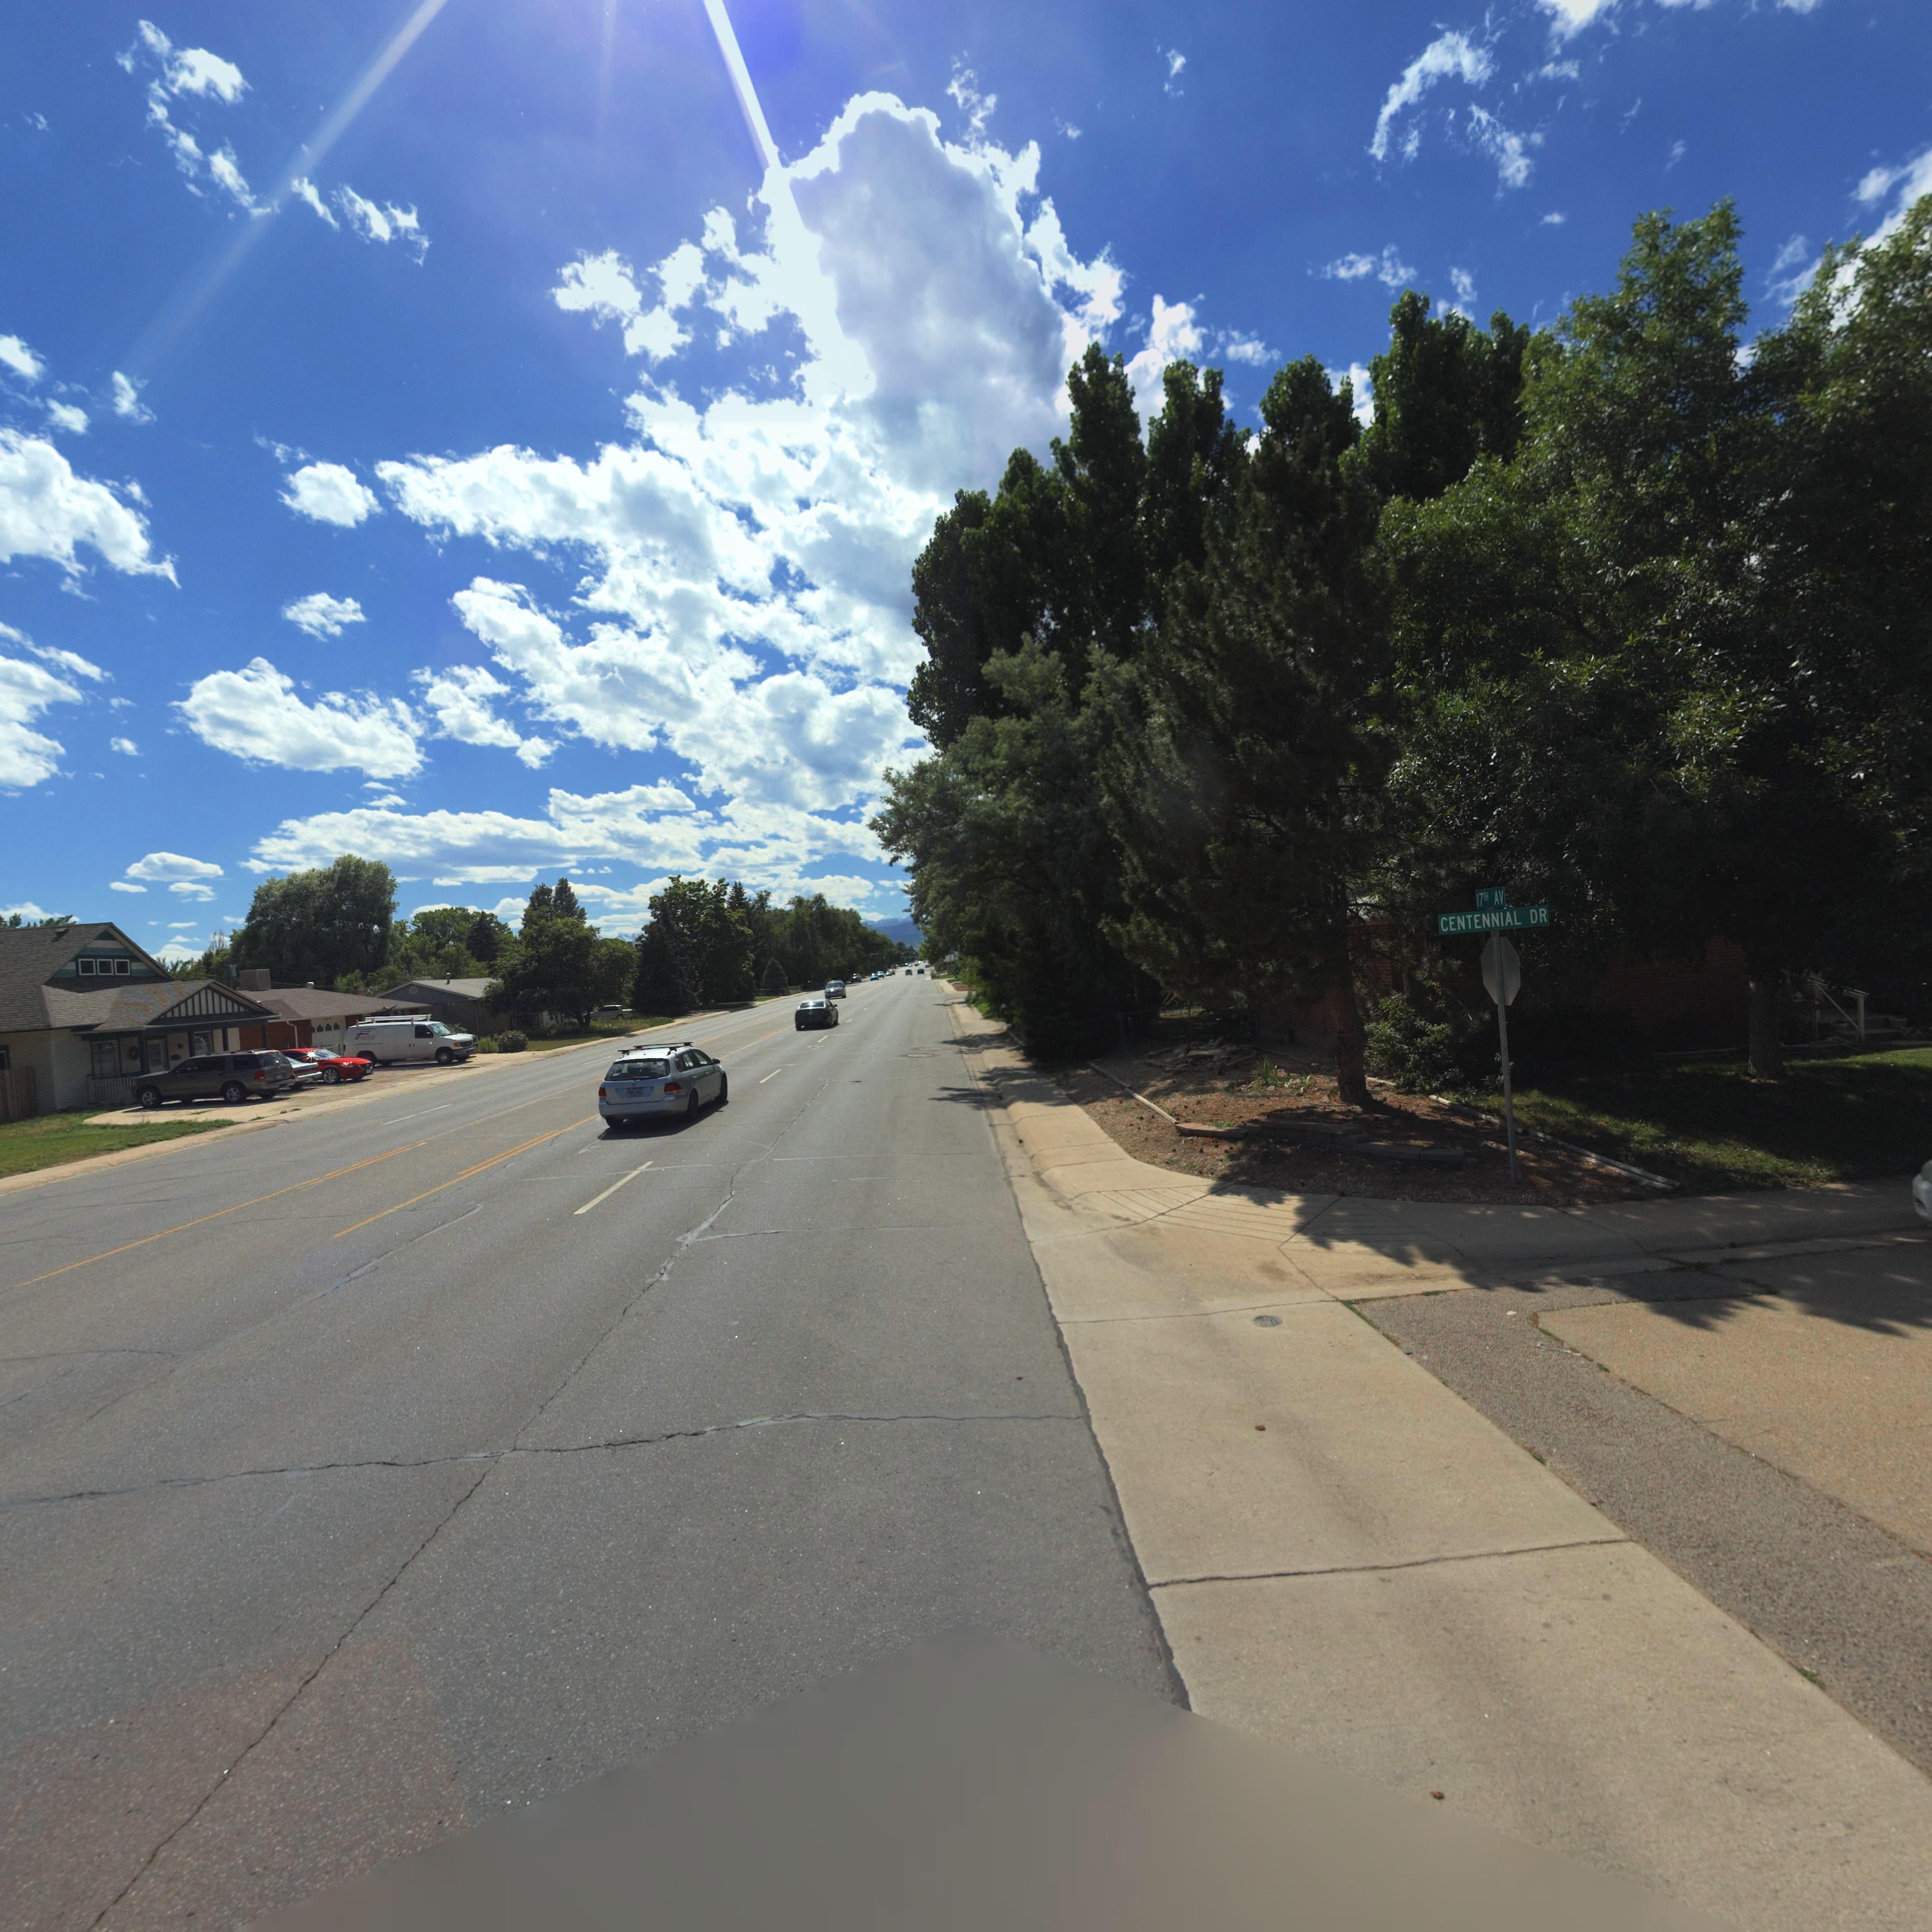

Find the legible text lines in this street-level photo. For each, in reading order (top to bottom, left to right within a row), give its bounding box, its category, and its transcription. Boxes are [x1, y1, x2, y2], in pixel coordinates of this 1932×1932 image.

[1476, 889, 1503, 908] StreetName: 17TH AV
[1440, 908, 1547, 932] StreetName: CENTENNIAL DR
[156, 1049, 161, 1056] StreetNumber: 4